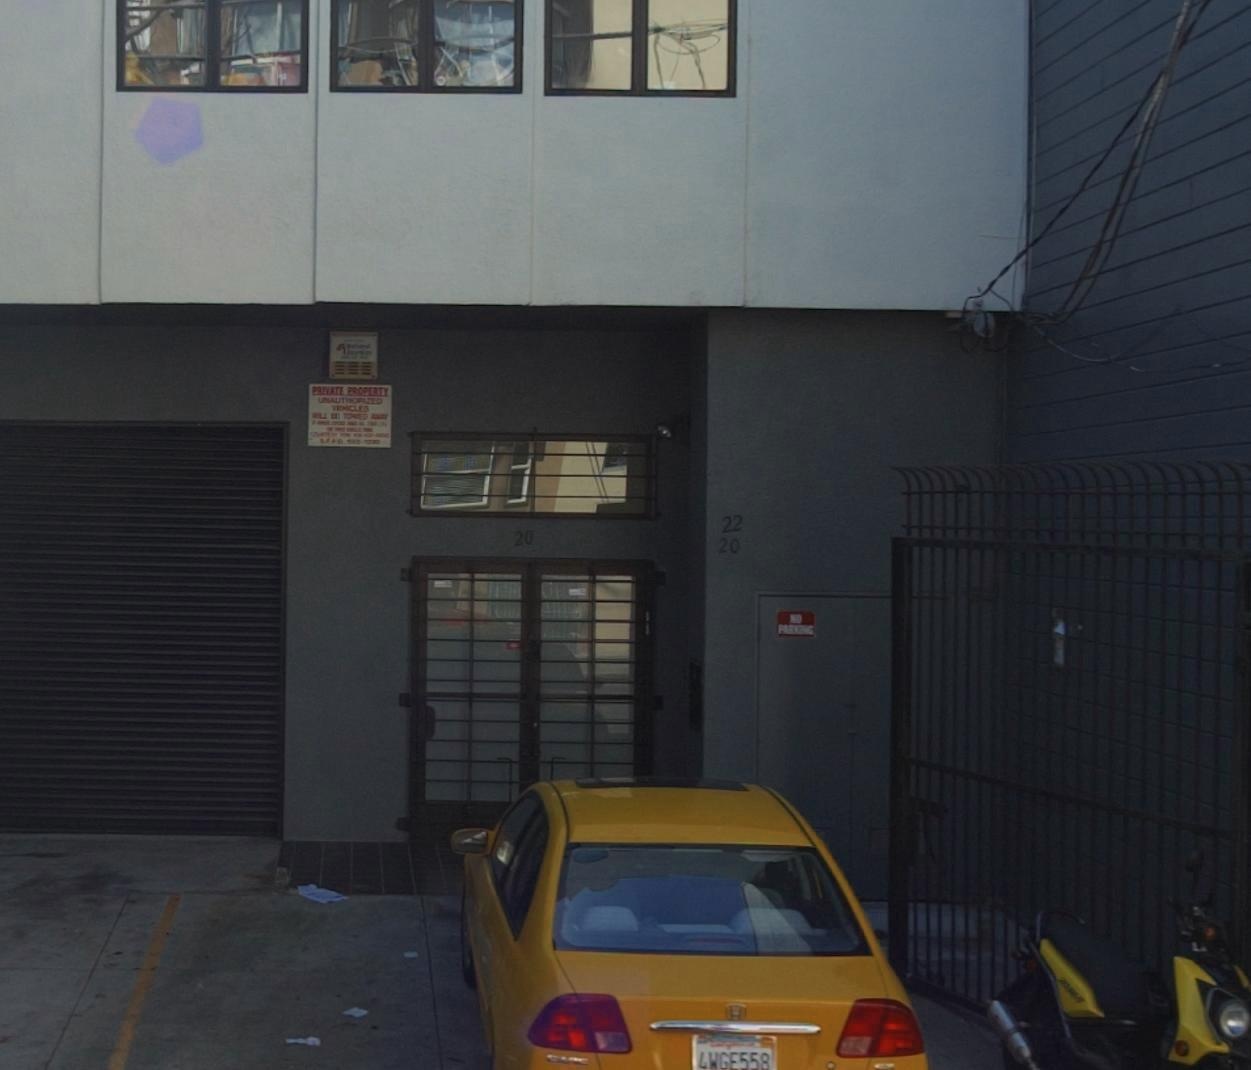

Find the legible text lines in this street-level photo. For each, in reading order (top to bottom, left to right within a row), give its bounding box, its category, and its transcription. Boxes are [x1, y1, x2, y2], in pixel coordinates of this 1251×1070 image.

[311, 385, 391, 398] None: PRIVATE PROPERTY
[315, 395, 383, 407] None: UNAUT*O**ZED
[347, 403, 371, 414] None: CLES
[720, 511, 746, 535] StreetNumber: 22
[511, 526, 536, 550] StreetNumber: 20
[715, 534, 745, 559] StreetNumber: 20
[788, 612, 804, 626] None: NO
[775, 623, 816, 637] None: PARKING
[694, 1048, 761, 1070] None: 4WGE55